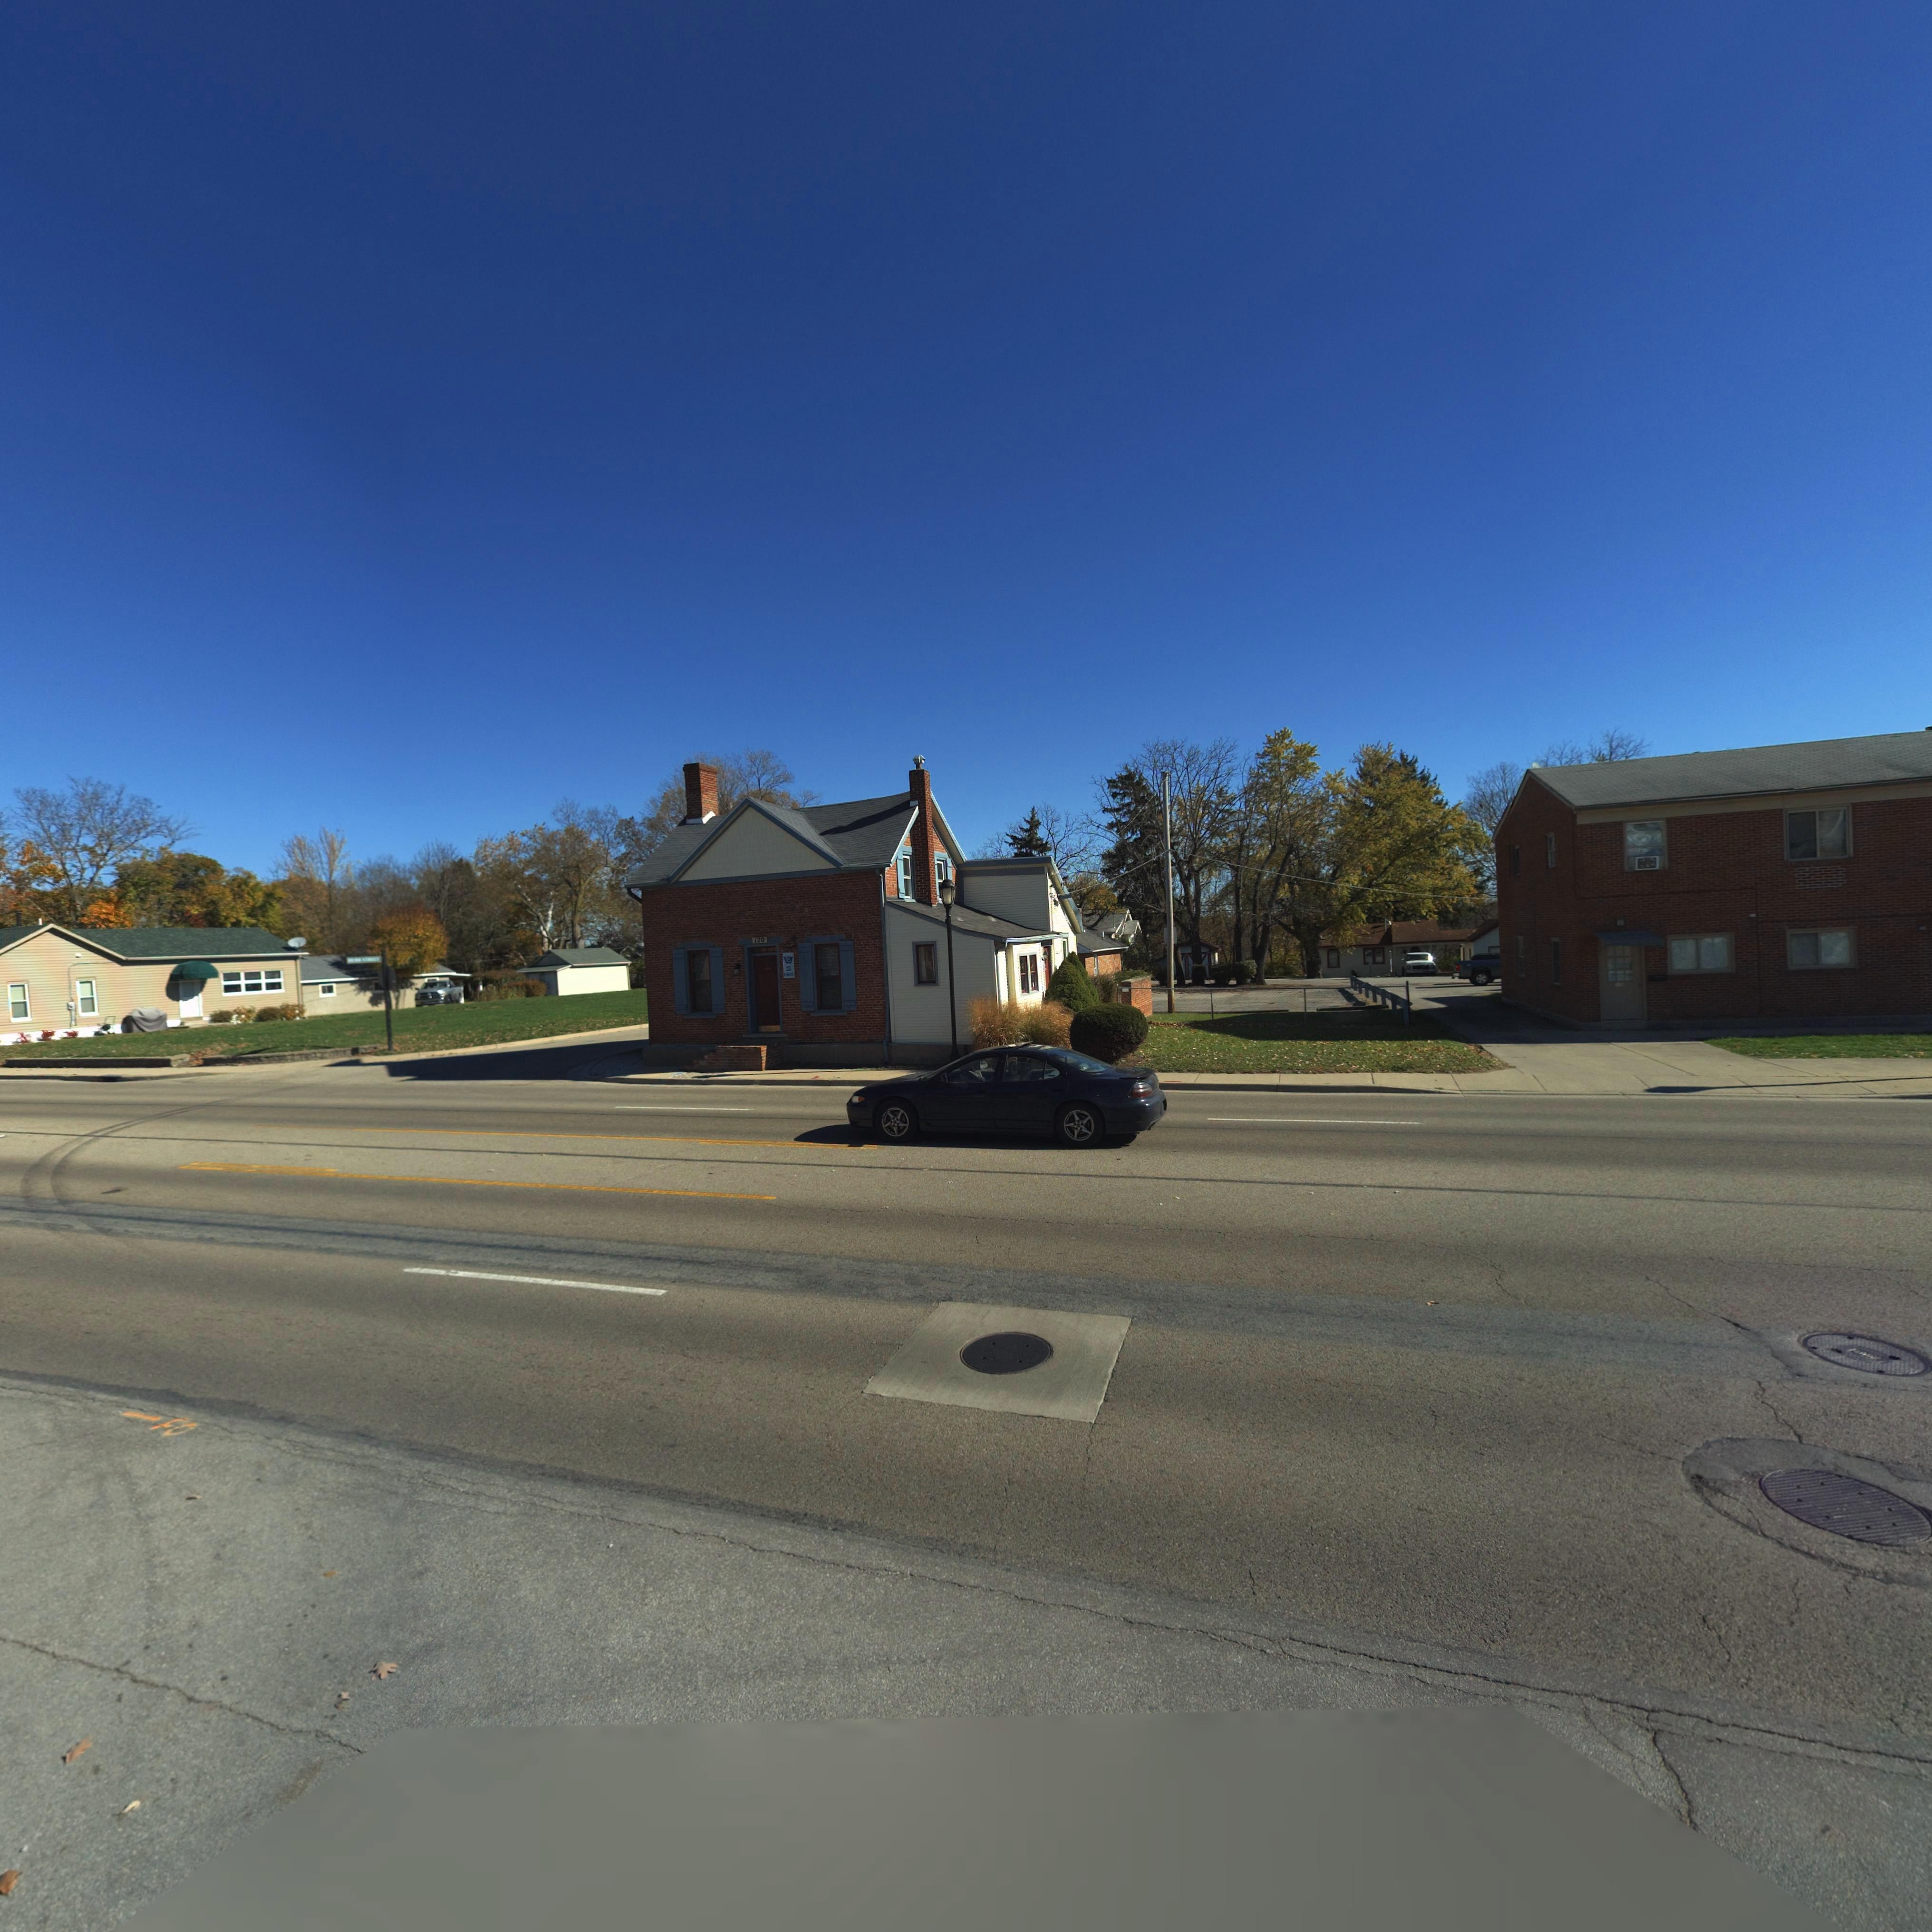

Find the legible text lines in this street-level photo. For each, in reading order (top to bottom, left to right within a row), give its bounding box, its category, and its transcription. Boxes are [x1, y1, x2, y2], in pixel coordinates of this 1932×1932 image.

[754, 937, 765, 943] StreetNumber: 120